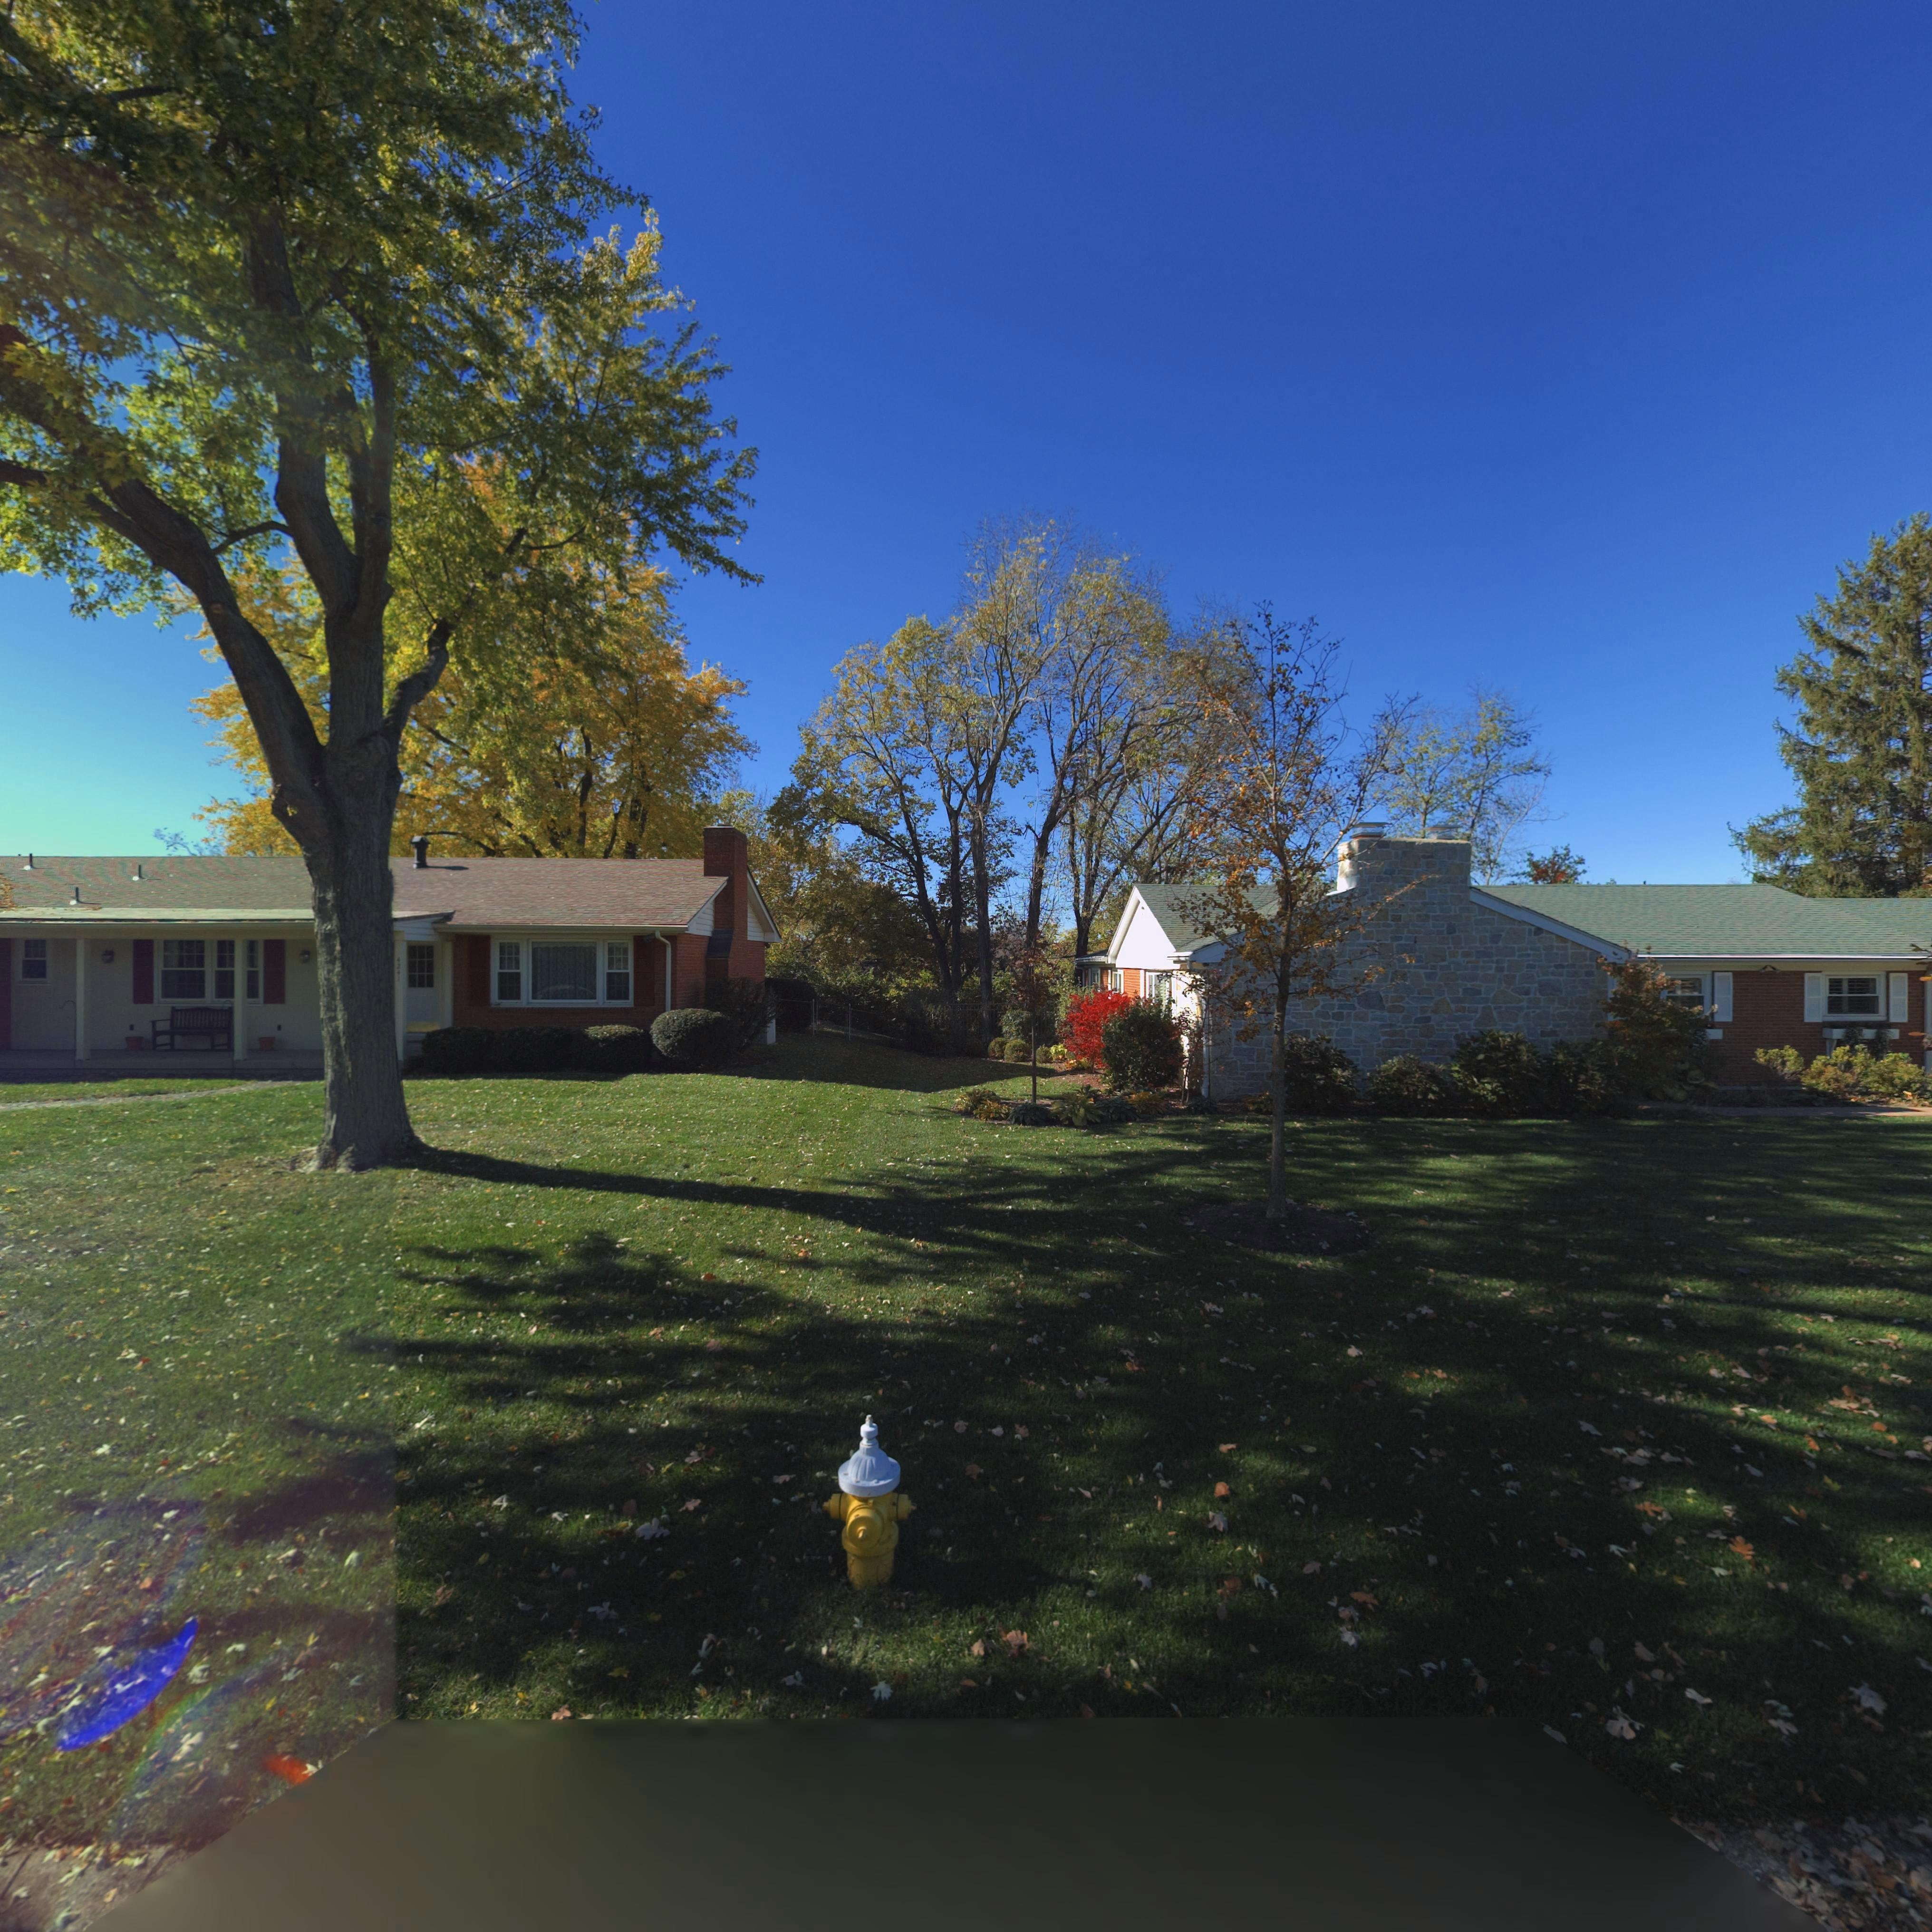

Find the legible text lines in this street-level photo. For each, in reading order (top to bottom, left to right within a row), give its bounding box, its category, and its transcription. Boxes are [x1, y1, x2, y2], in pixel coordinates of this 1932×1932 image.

[396, 956, 400, 982] StreetNumber: 4241